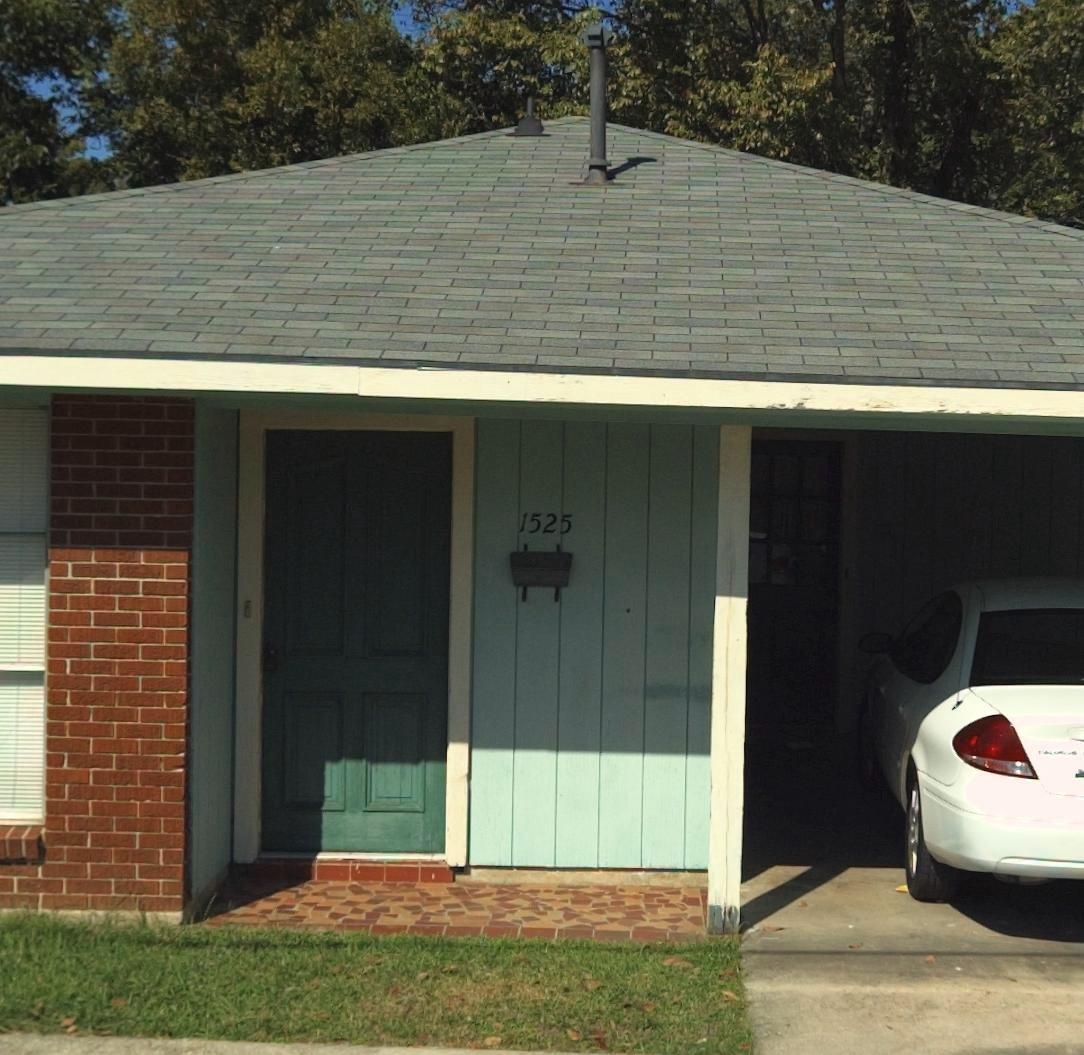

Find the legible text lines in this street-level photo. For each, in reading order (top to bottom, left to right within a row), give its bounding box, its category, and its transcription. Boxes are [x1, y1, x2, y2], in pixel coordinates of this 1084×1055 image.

[517, 510, 574, 536] StreetNumber: 1525